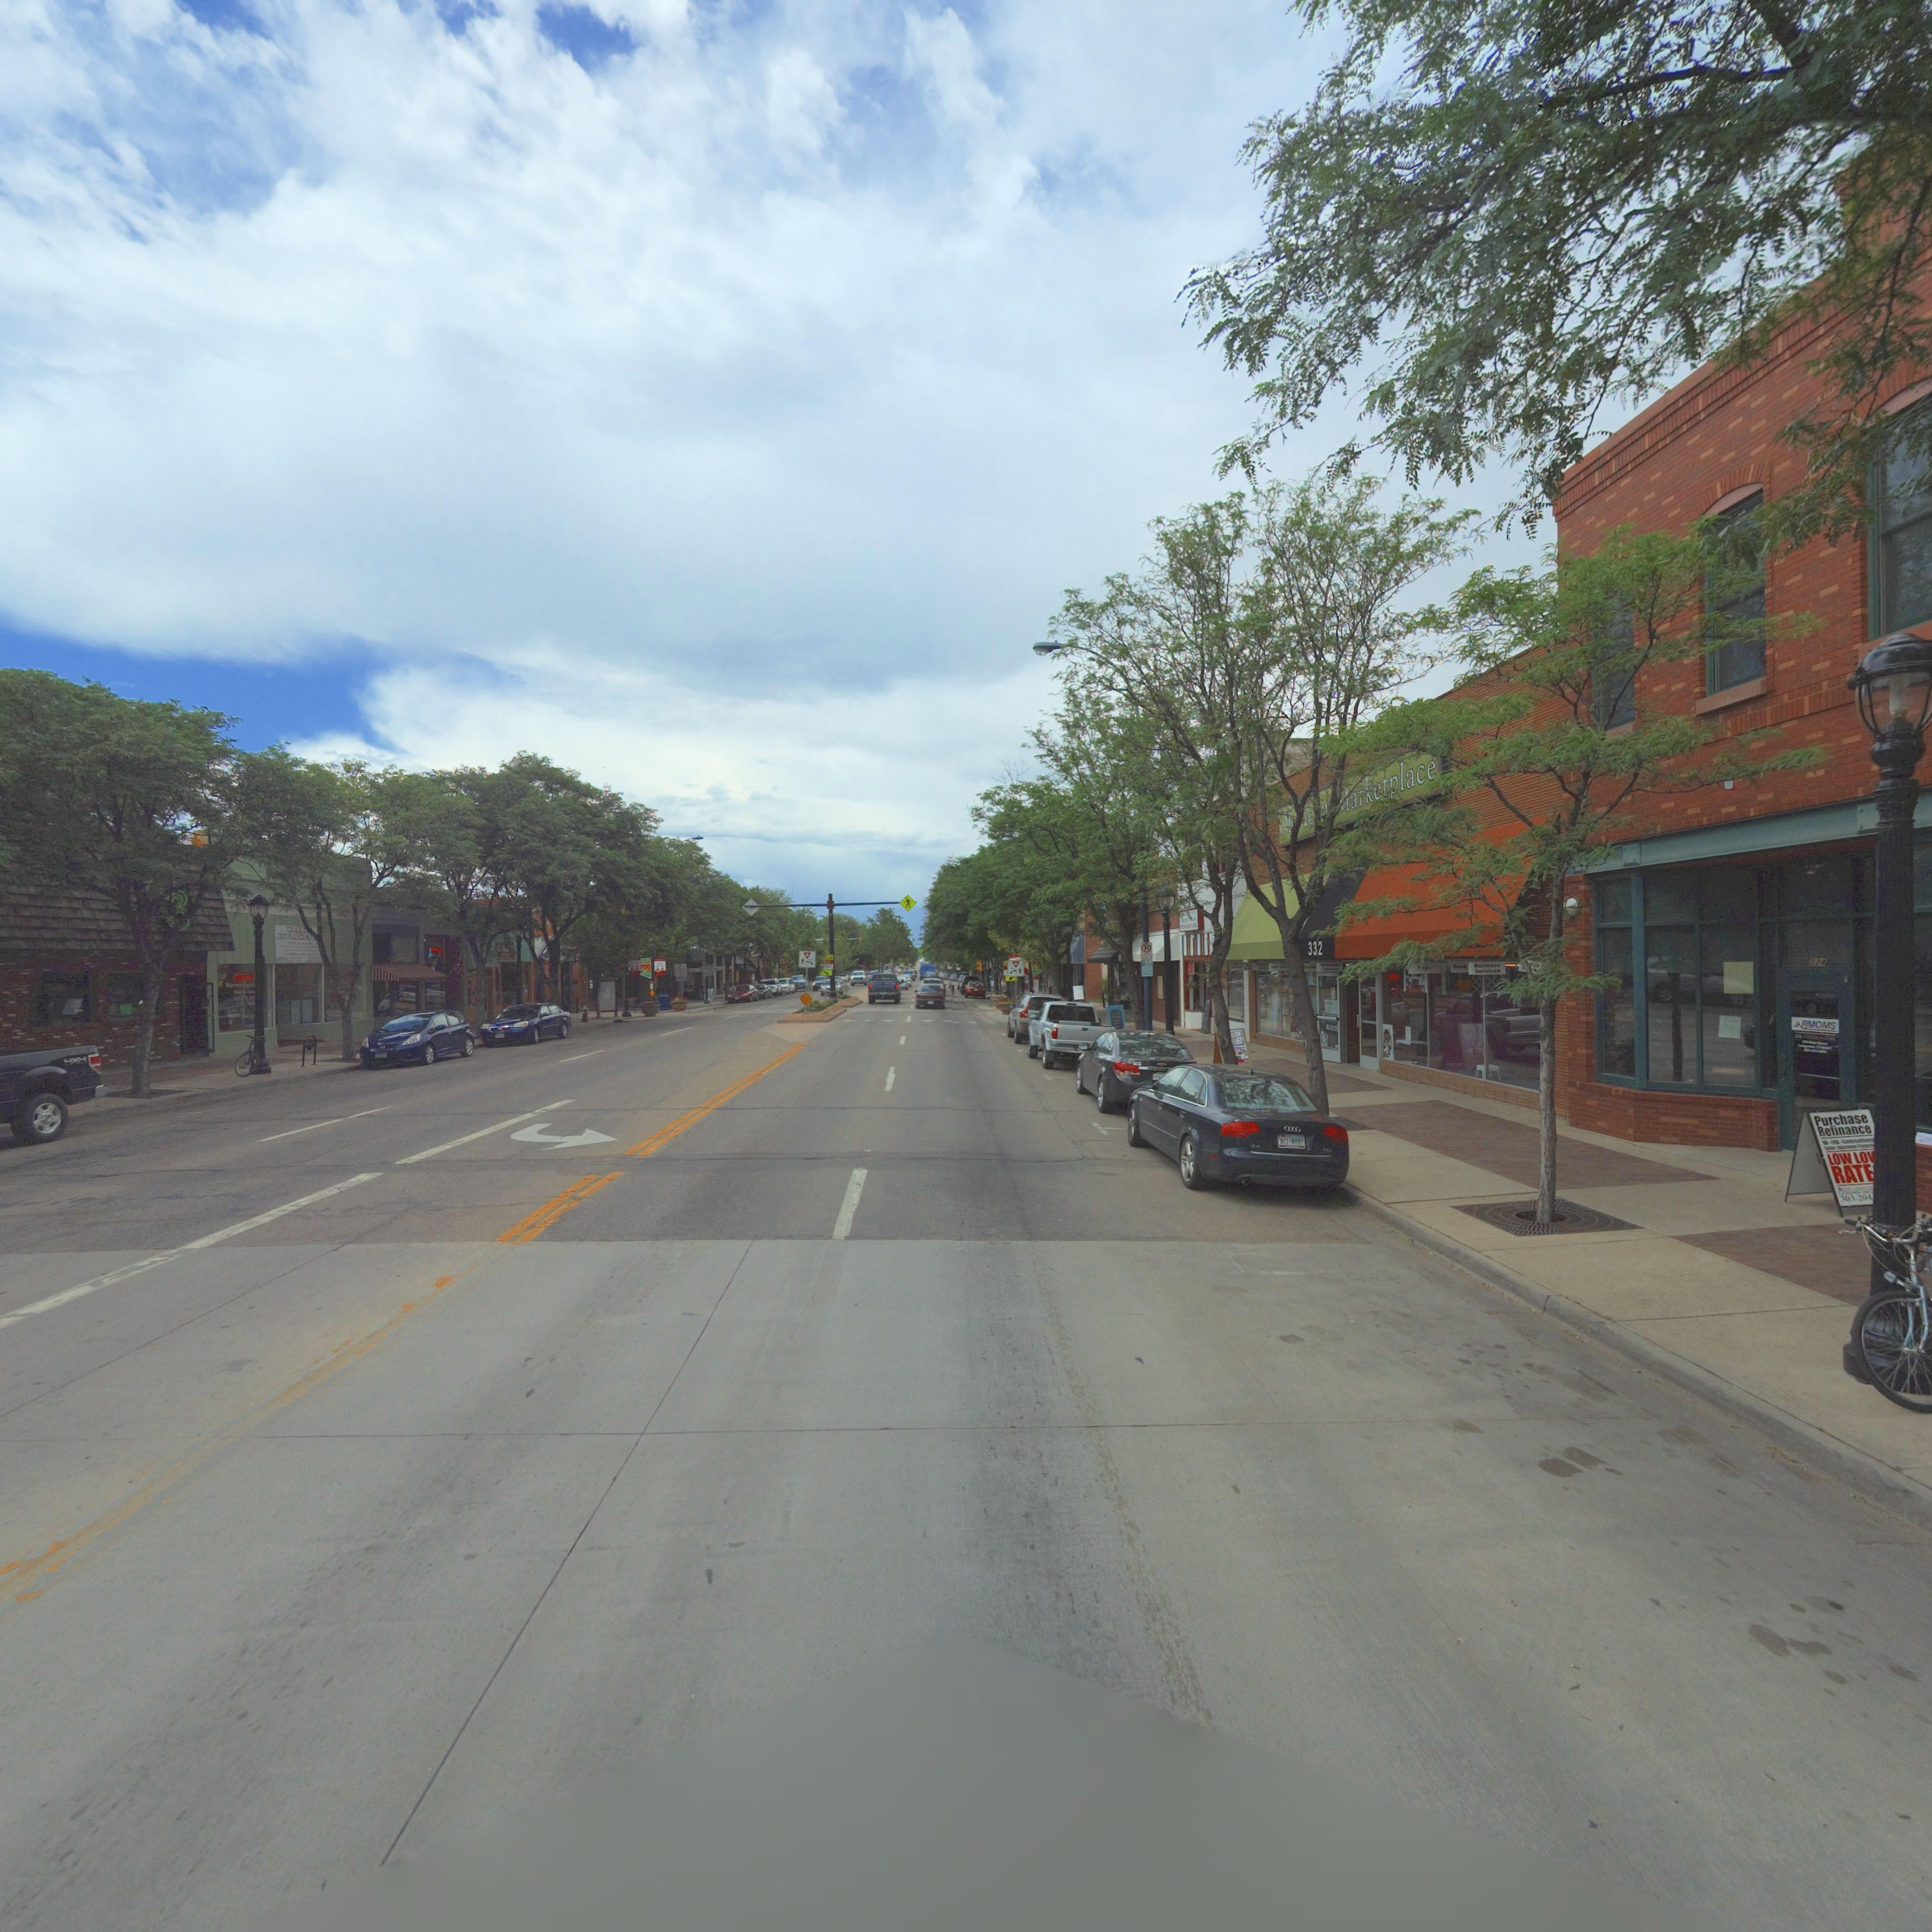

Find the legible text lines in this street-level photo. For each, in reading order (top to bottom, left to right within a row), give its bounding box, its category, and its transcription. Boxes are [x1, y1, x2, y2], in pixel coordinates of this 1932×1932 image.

[1278, 759, 1437, 837] BusinessName: O** *o** *arketplace
[286, 926, 312, 933] BusinessName: WERR**
[276, 933, 312, 940] BusinessName: APPLI*NCE*
[1308, 940, 1323, 956] StreetNumber: 332
[1808, 958, 1826, 966] StreetNumber: 324
[1801, 1020, 1836, 1029] BusinessName: *MOMS